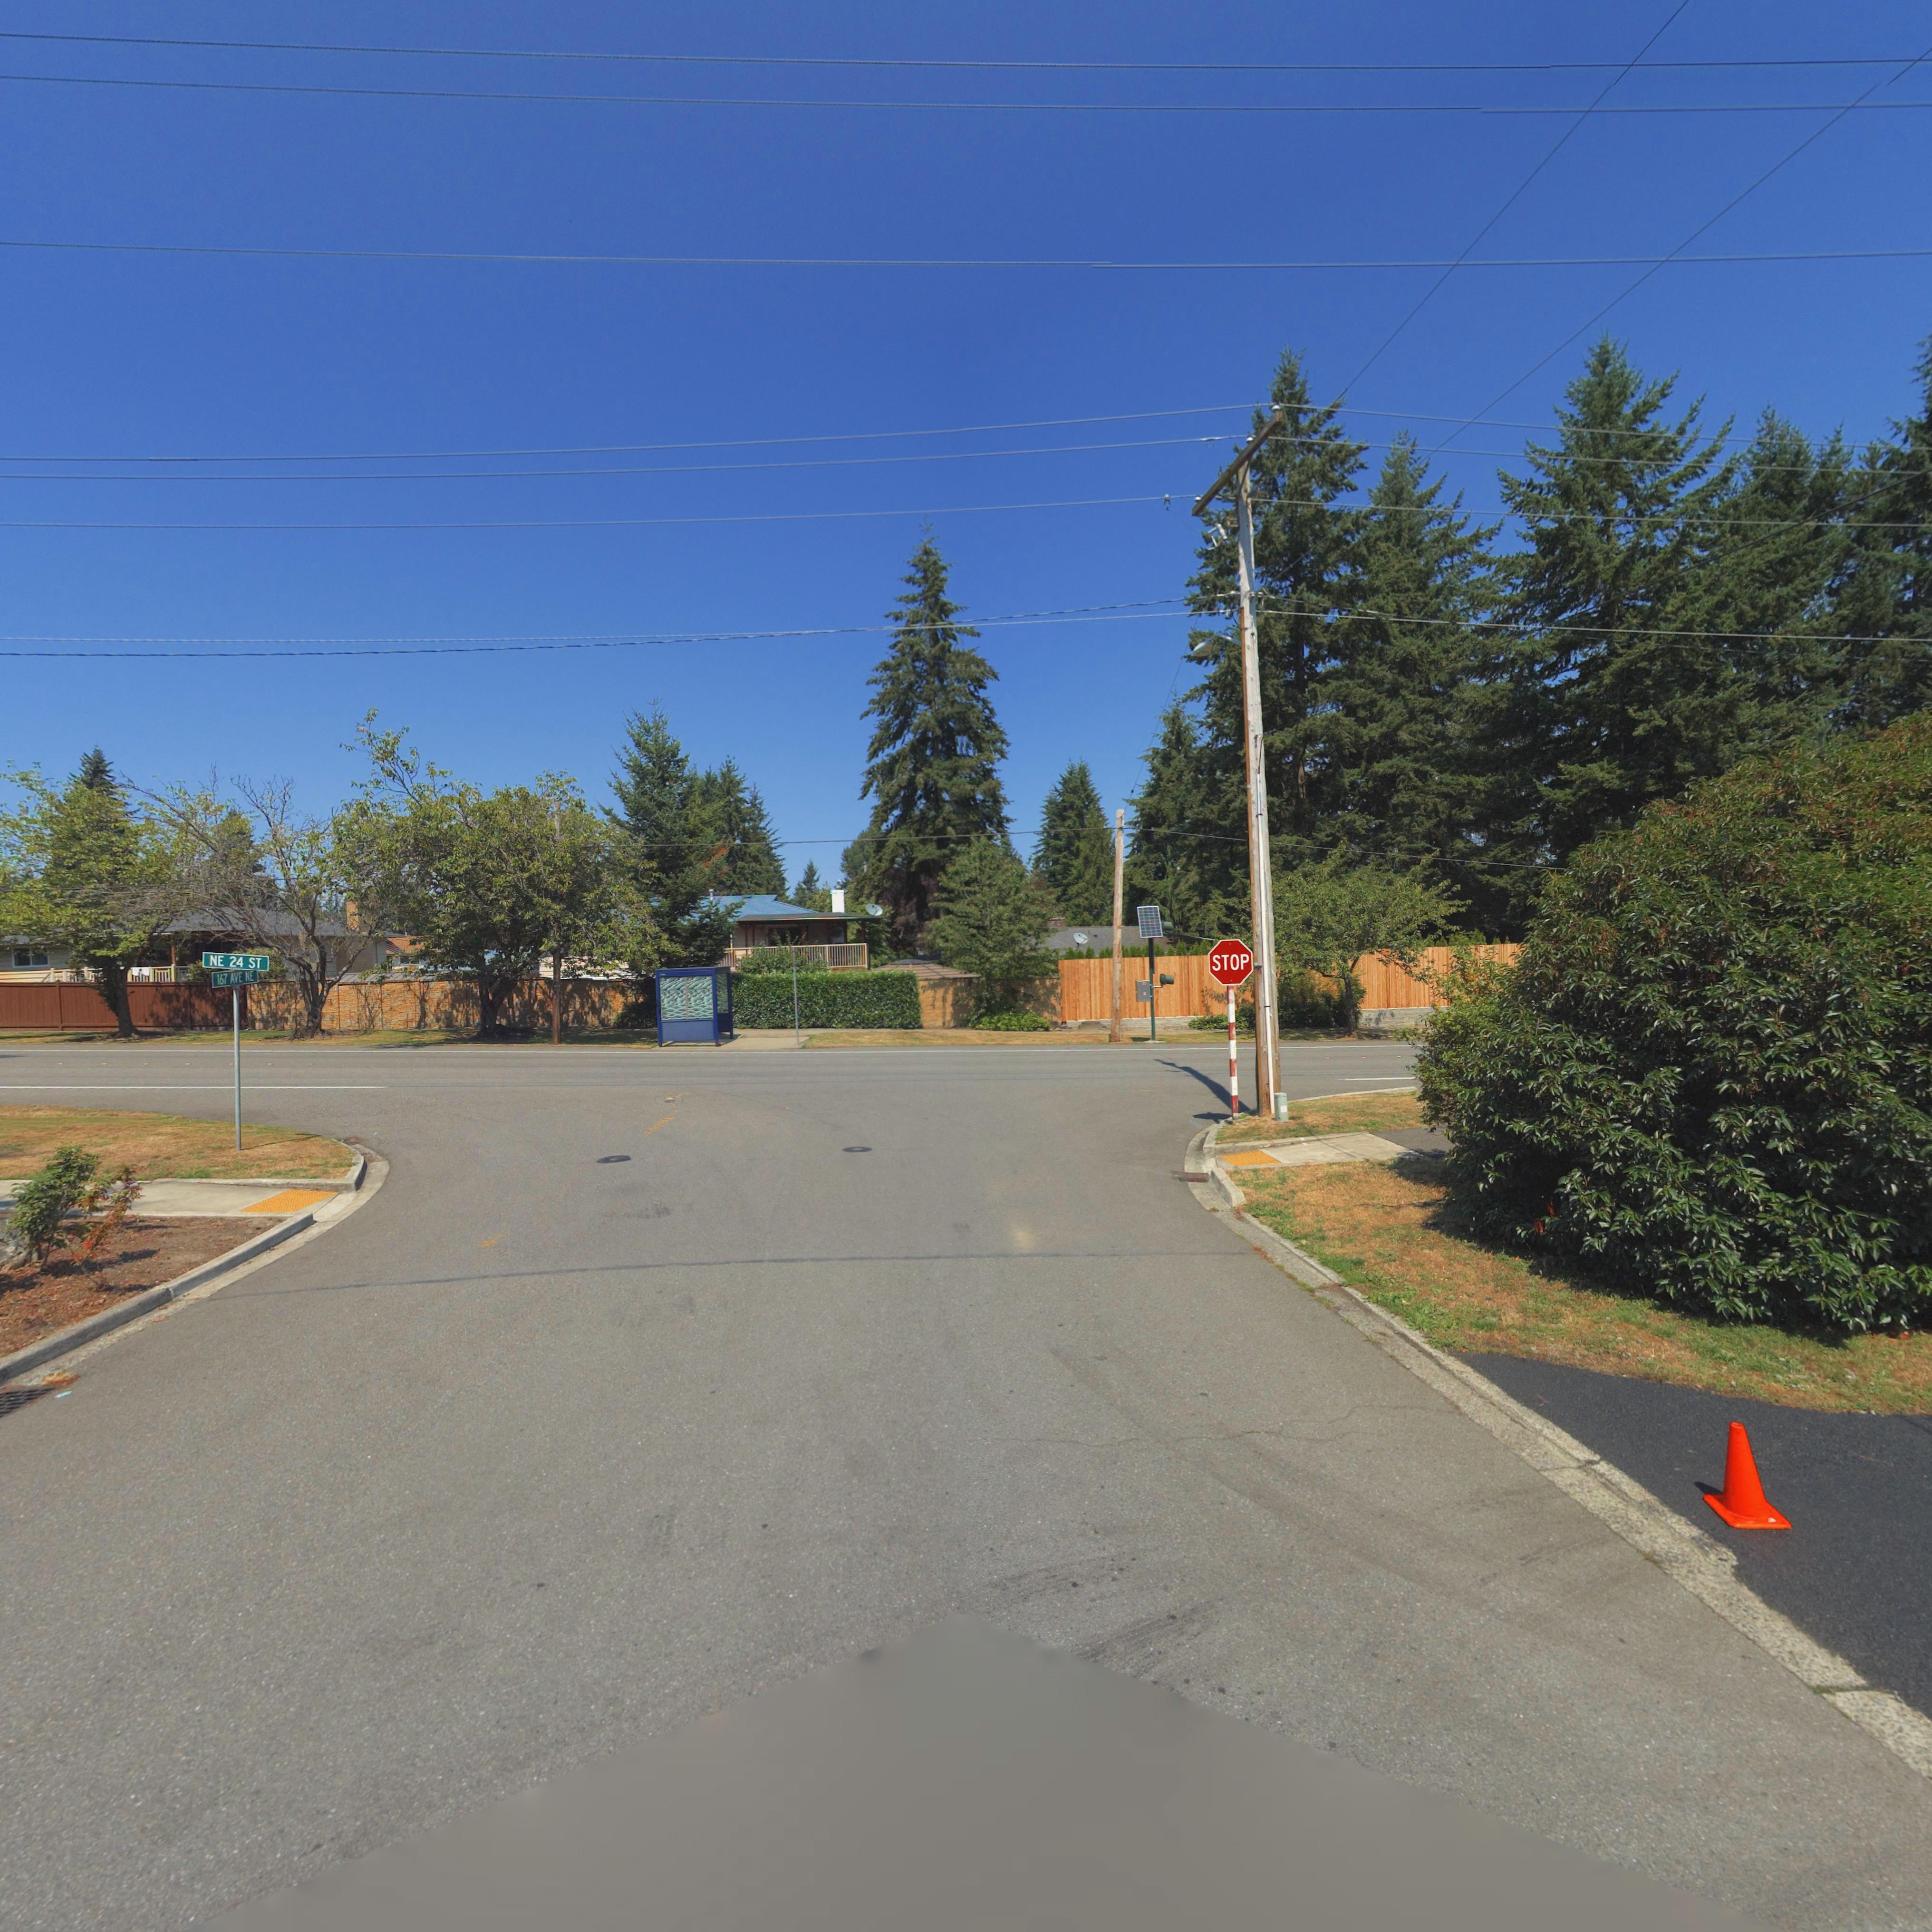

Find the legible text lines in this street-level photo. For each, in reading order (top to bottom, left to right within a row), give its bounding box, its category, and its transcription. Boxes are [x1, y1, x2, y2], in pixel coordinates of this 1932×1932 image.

[210, 955, 261, 968] StreetName: NE 24 ST
[216, 970, 254, 984] StreetName: 167 AVE NE